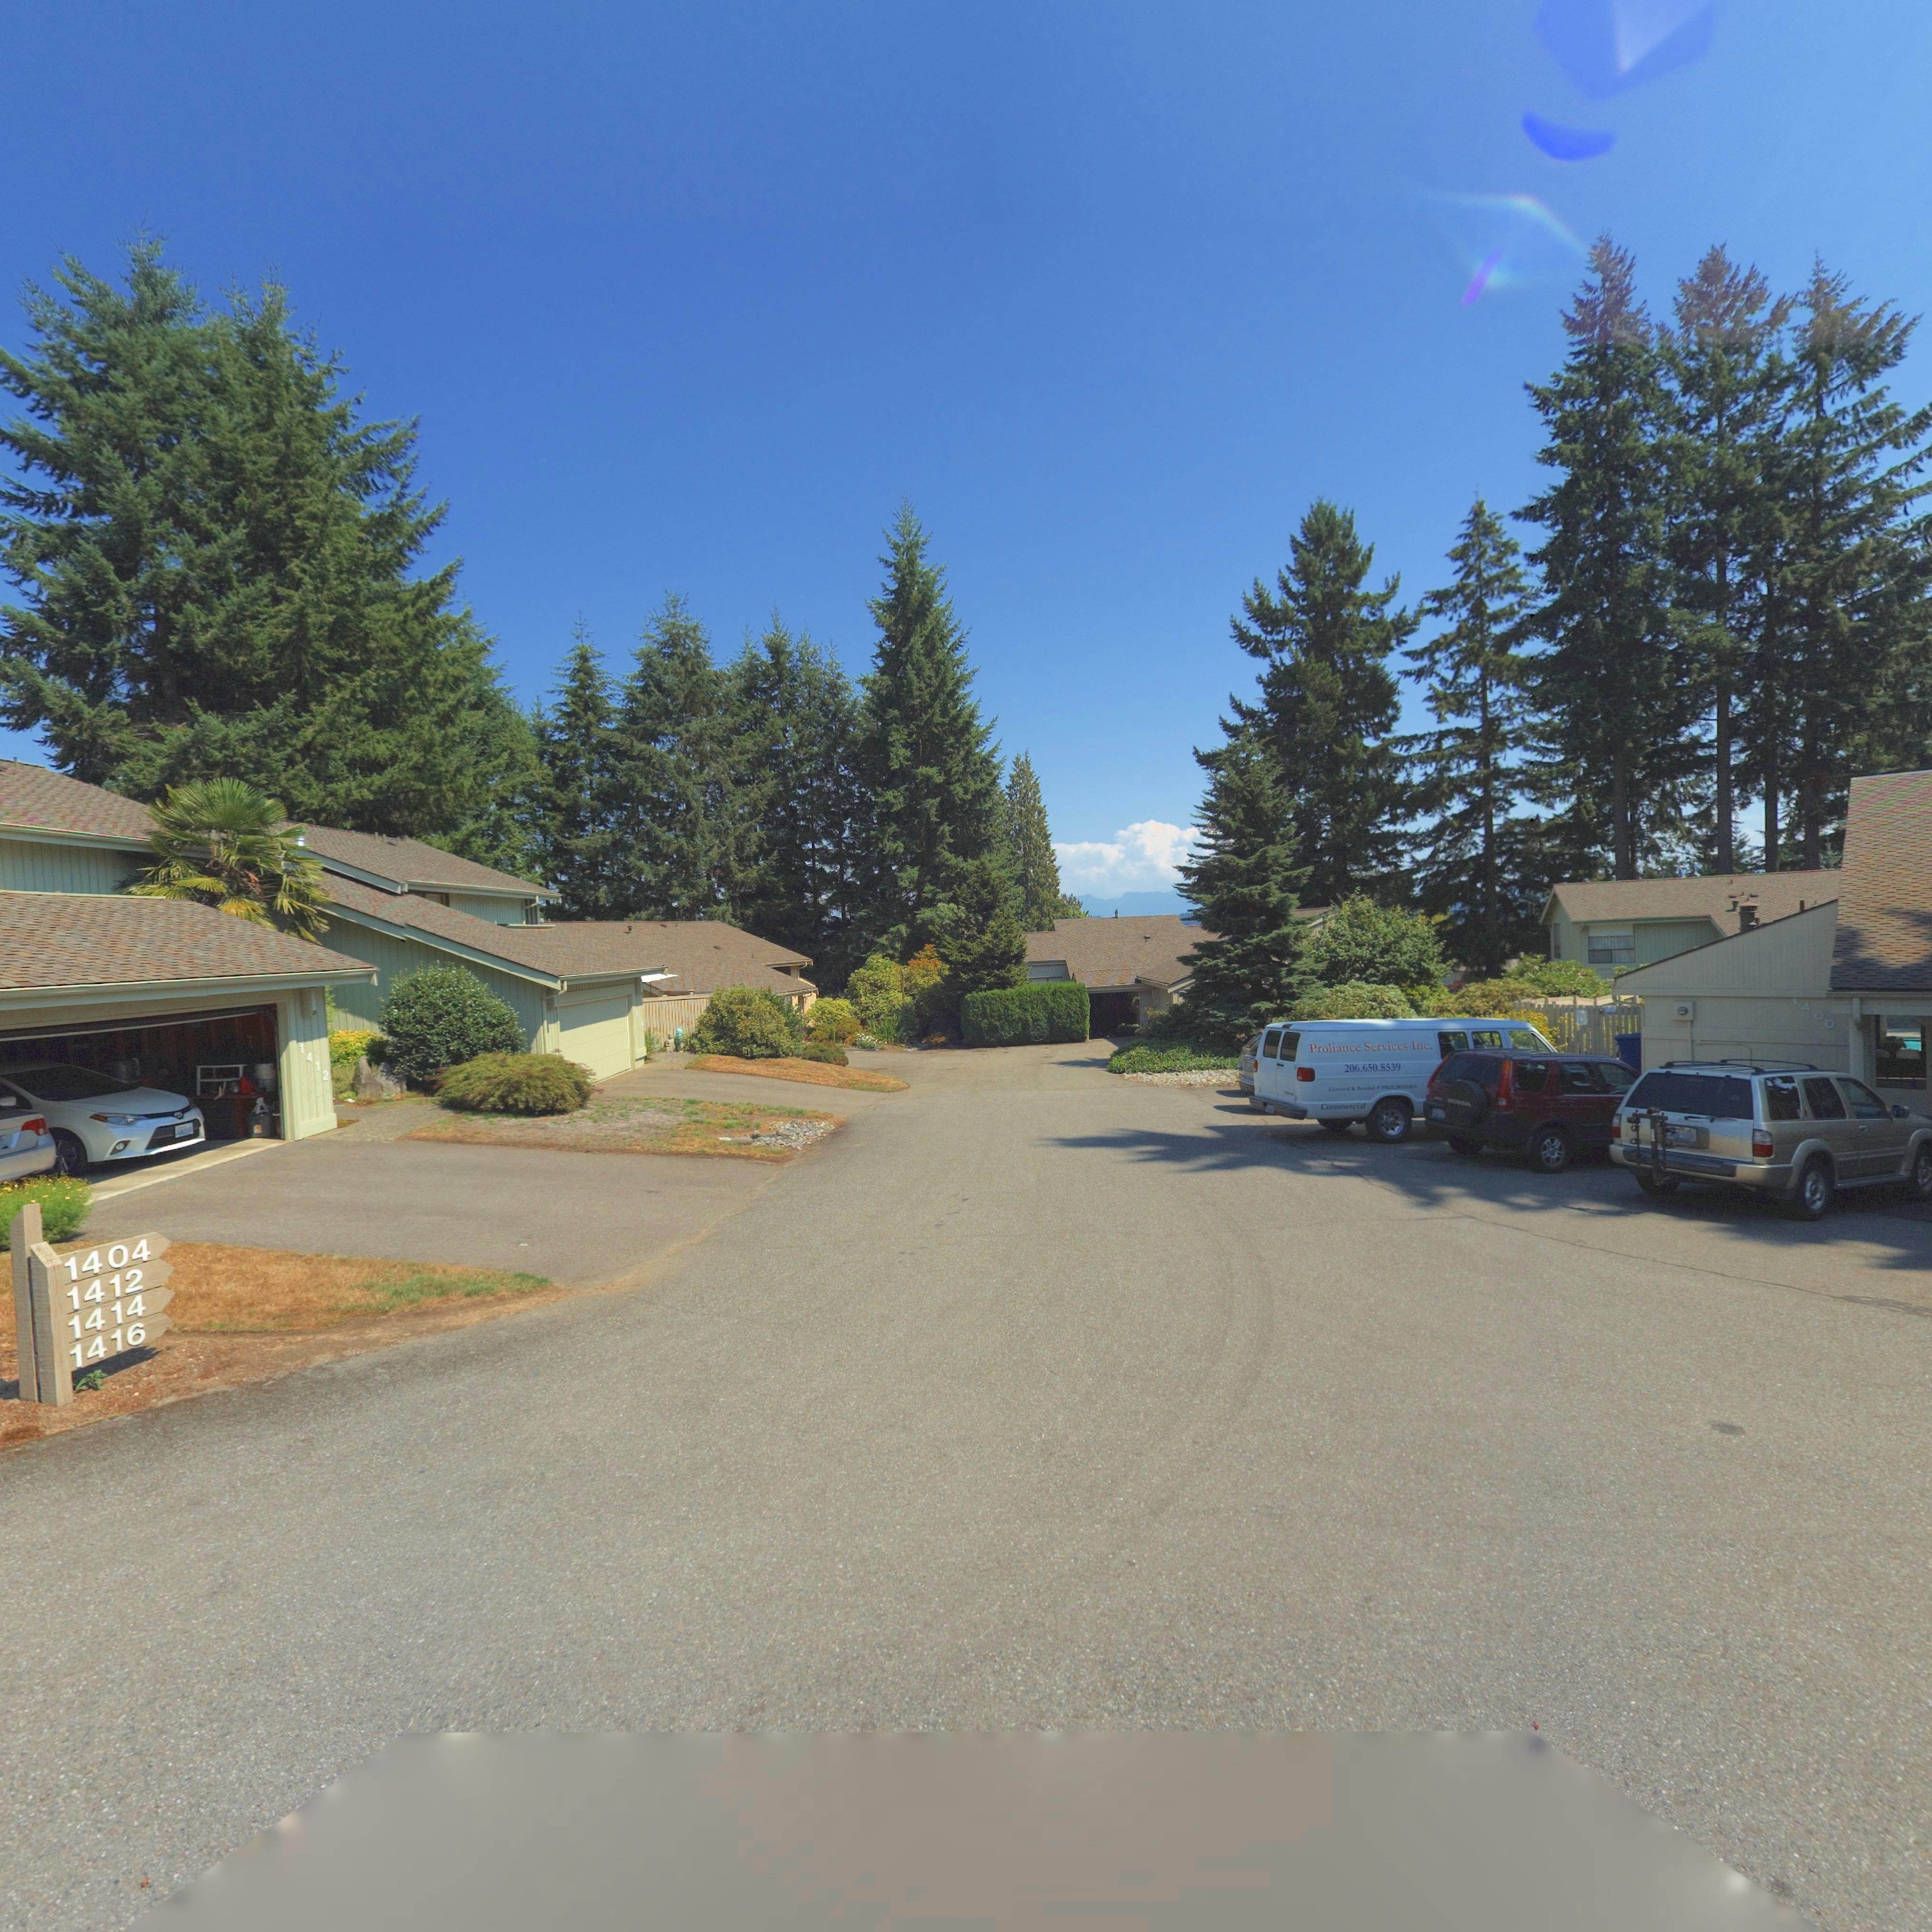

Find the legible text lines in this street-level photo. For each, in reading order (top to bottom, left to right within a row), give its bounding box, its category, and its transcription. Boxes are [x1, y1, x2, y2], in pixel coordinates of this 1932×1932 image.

[1793, 992, 1837, 1033] StreetNumber: 1400
[298, 1043, 329, 1082] StreetNumber: 1412
[63, 1238, 152, 1281] StreetNumber: 1404
[65, 1267, 146, 1312] StreetNumber: 1412
[66, 1293, 146, 1340] StreetNumber: 1414
[66, 1322, 148, 1369] StreetNumber: 1416